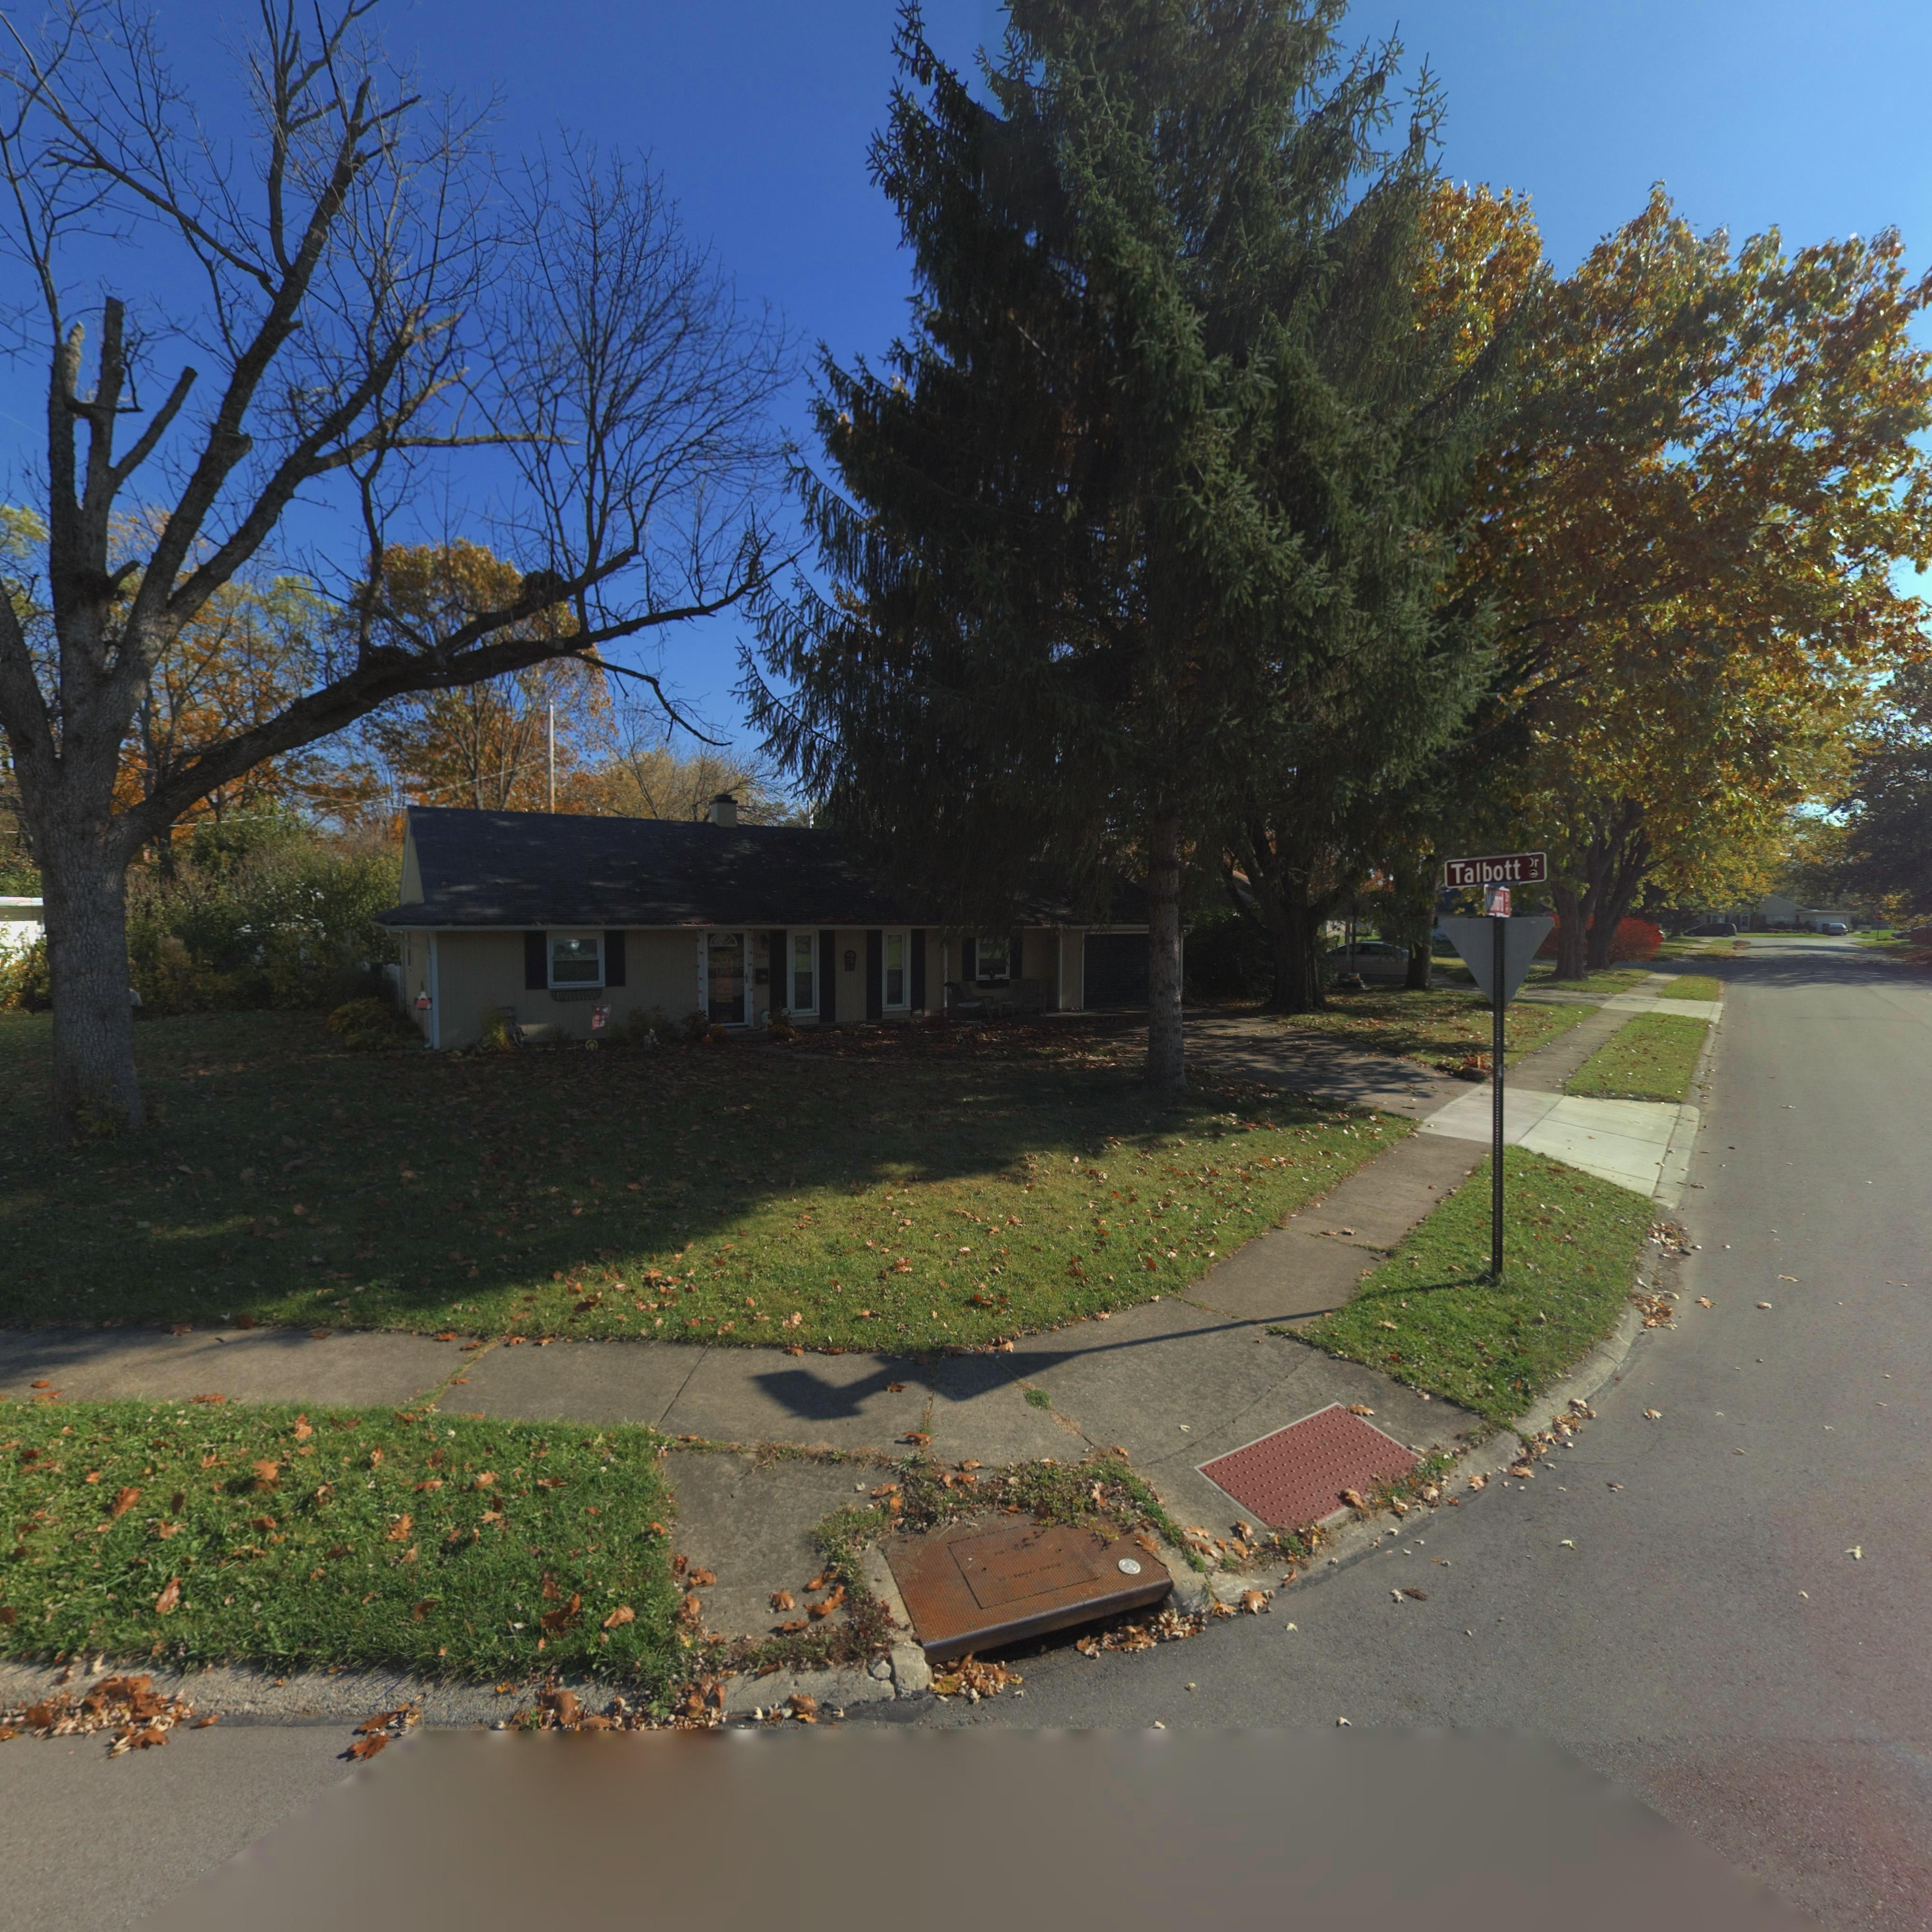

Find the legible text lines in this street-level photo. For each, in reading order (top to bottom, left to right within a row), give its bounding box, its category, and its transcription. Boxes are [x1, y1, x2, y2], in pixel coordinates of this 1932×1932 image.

[1449, 856, 1539, 885] StreetName: Talbott *r
[754, 951, 768, 959] StreetNumber: 3854